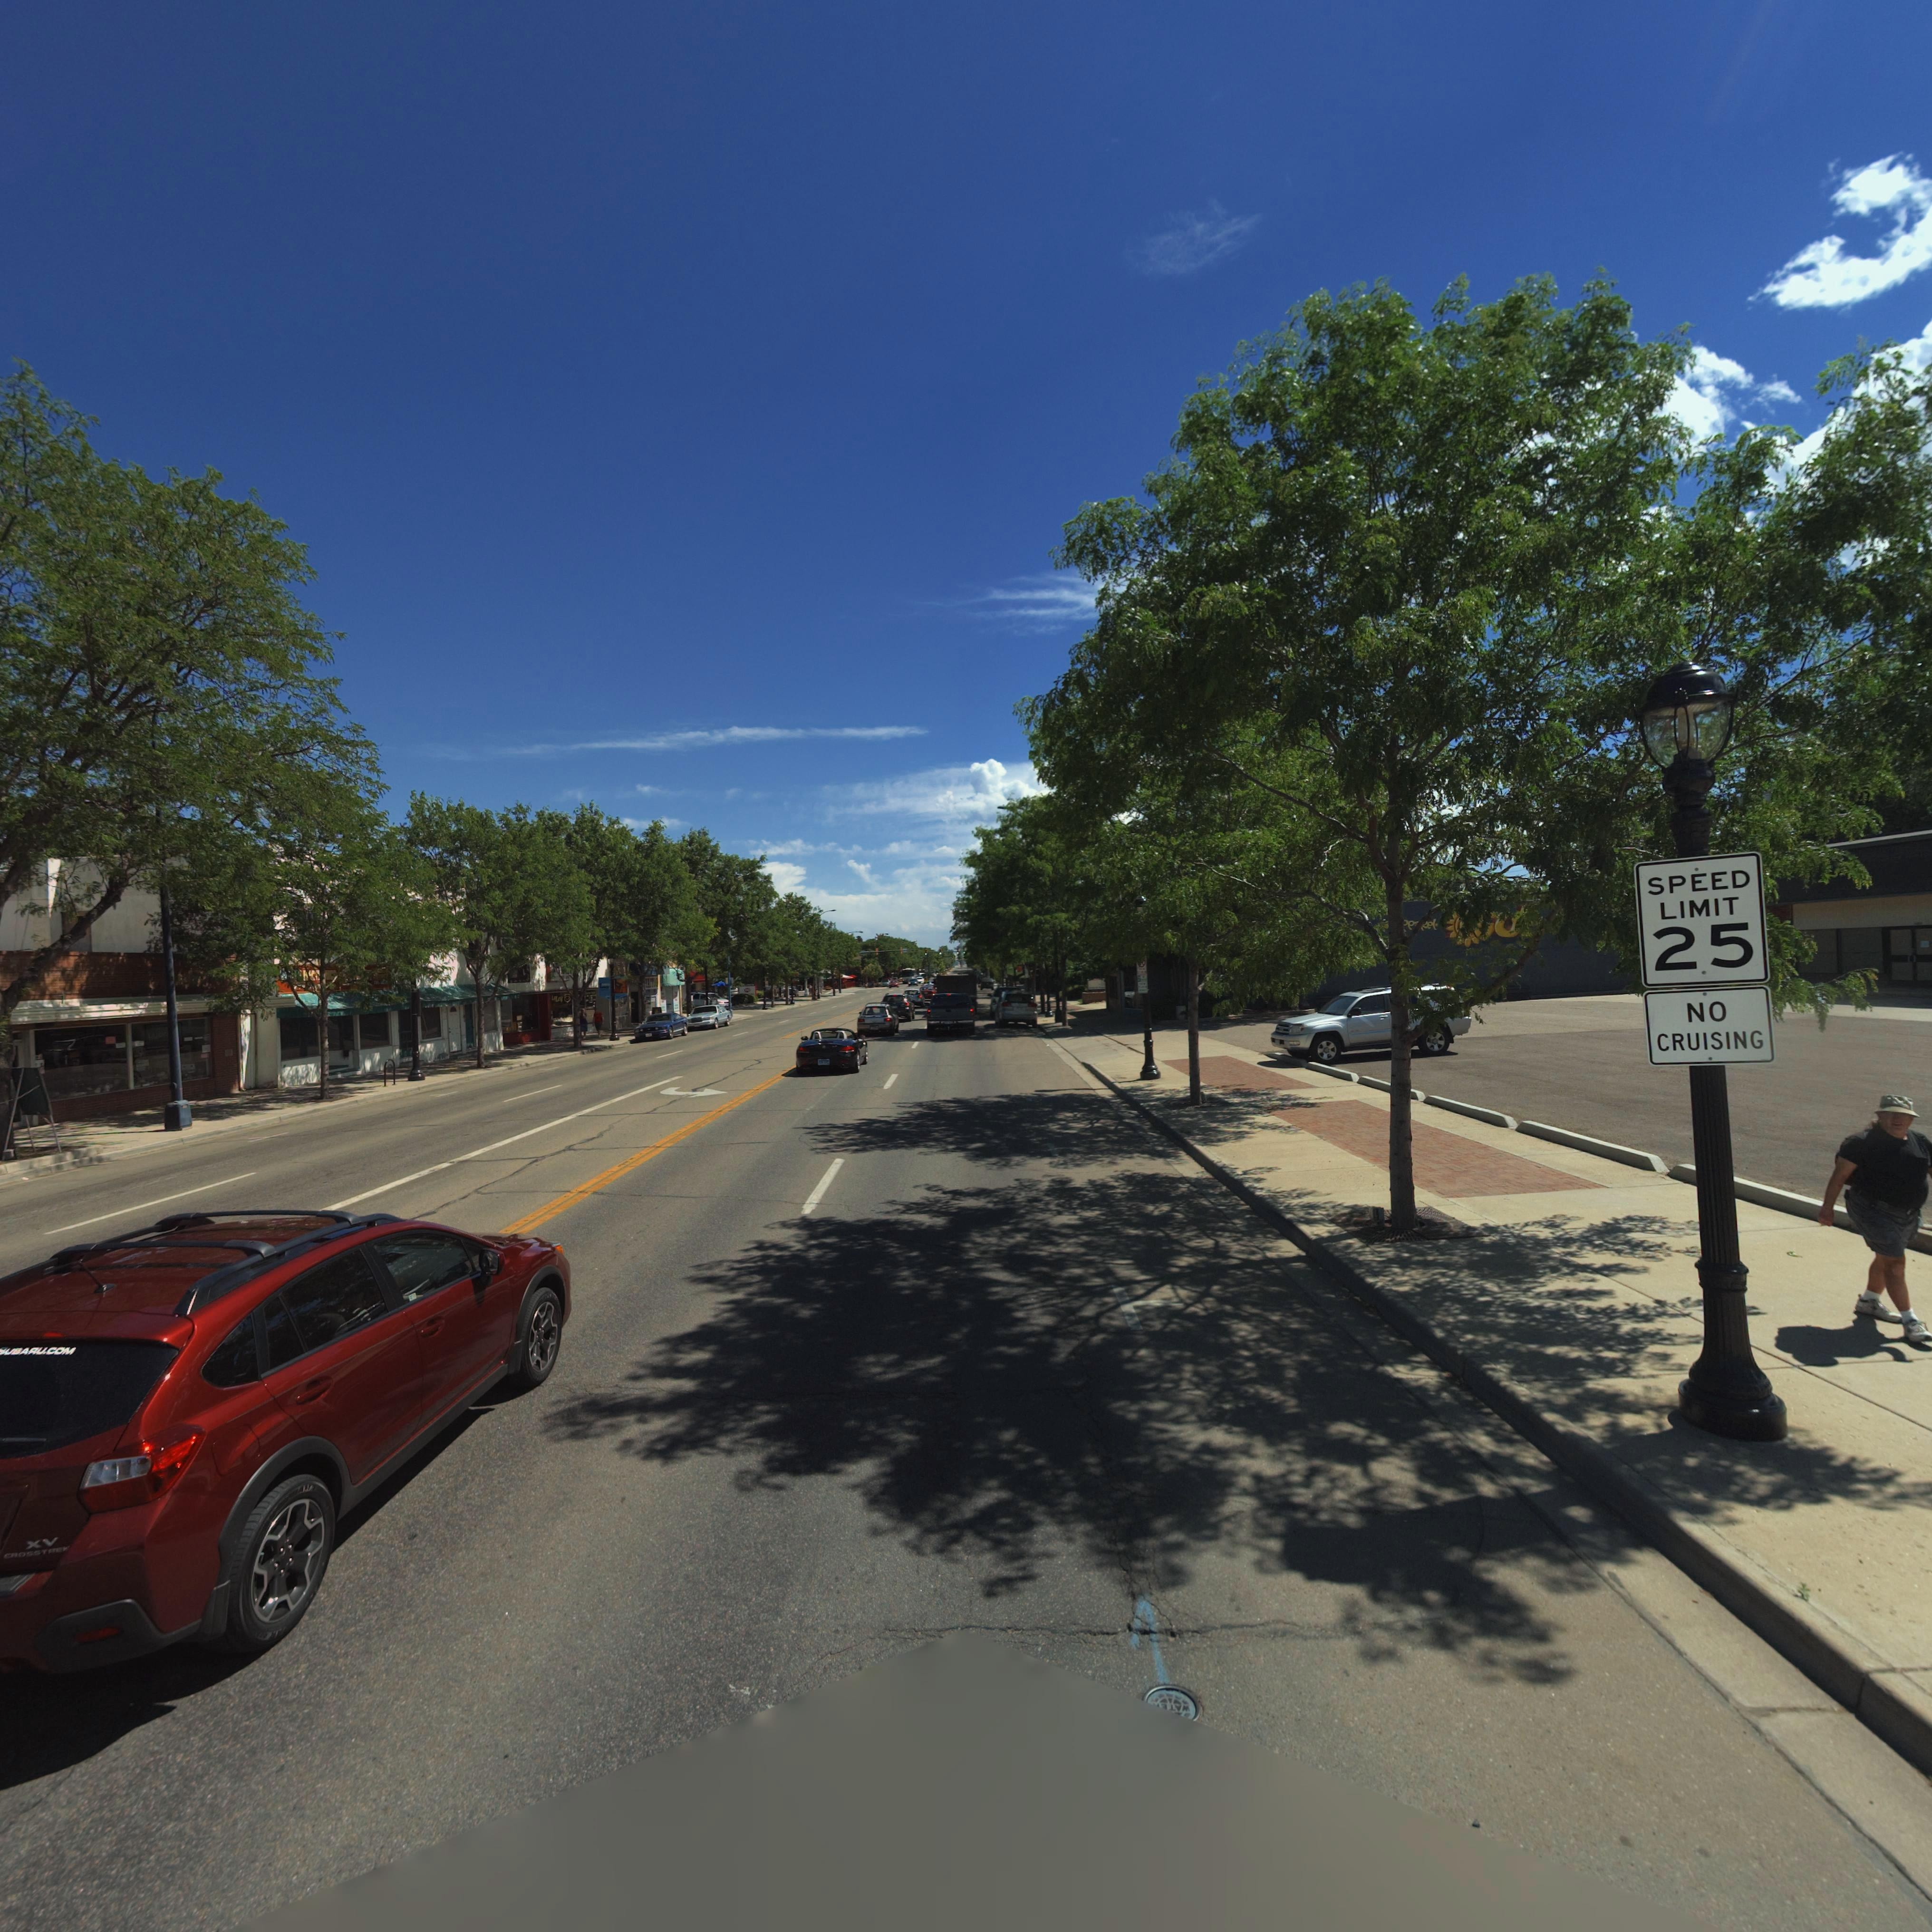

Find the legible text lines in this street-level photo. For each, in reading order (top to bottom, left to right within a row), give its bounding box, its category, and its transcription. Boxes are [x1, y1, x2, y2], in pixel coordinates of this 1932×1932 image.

[551, 995, 555, 1000] BusinessName: L*
[556, 995, 563, 1002] BusinessName: L**